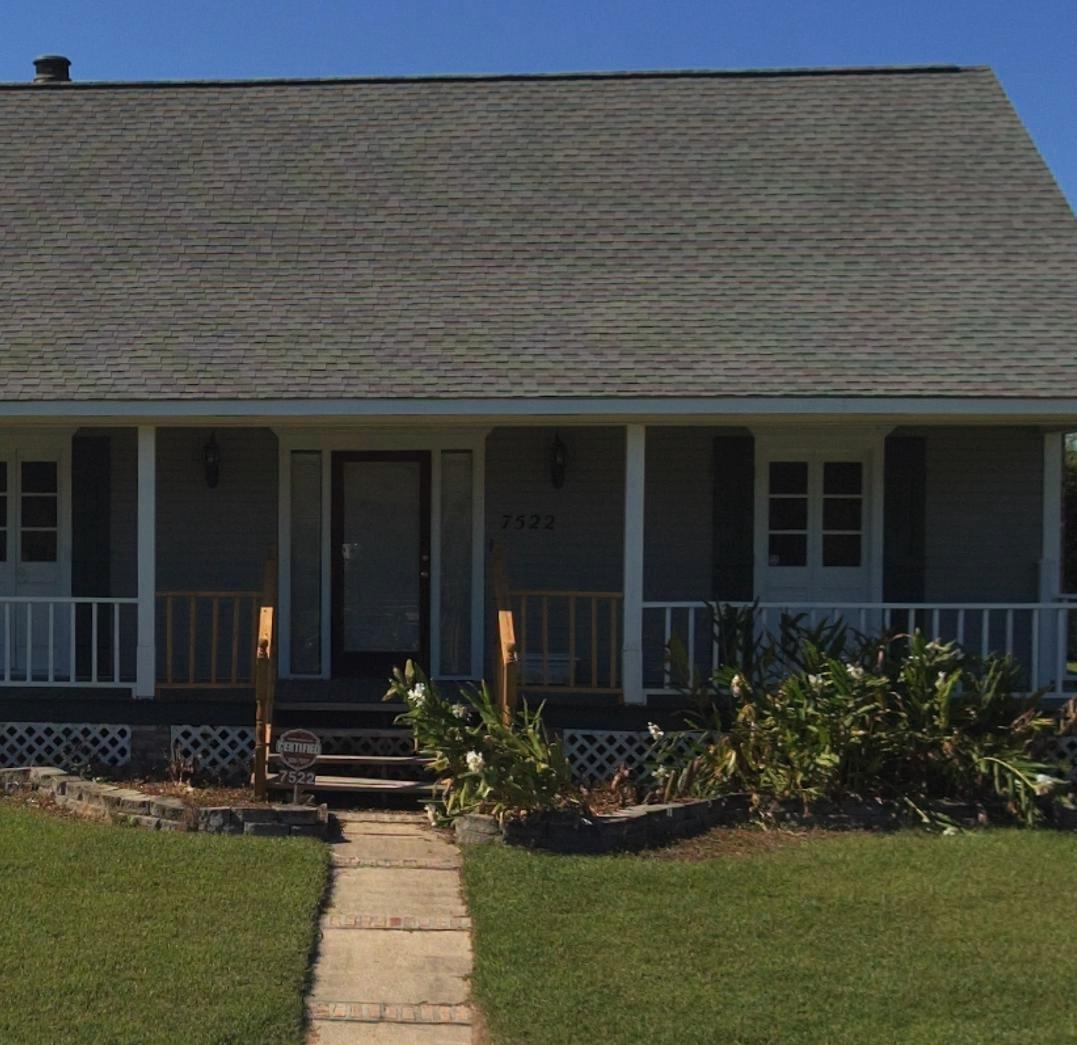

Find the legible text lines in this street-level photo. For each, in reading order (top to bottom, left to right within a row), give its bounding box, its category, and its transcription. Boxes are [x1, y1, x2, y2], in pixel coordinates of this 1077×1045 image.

[501, 514, 556, 530] StreetNumber: 7522
[276, 741, 321, 754] None: CERTIFIED
[278, 770, 315, 785] StreetNumber: 7522